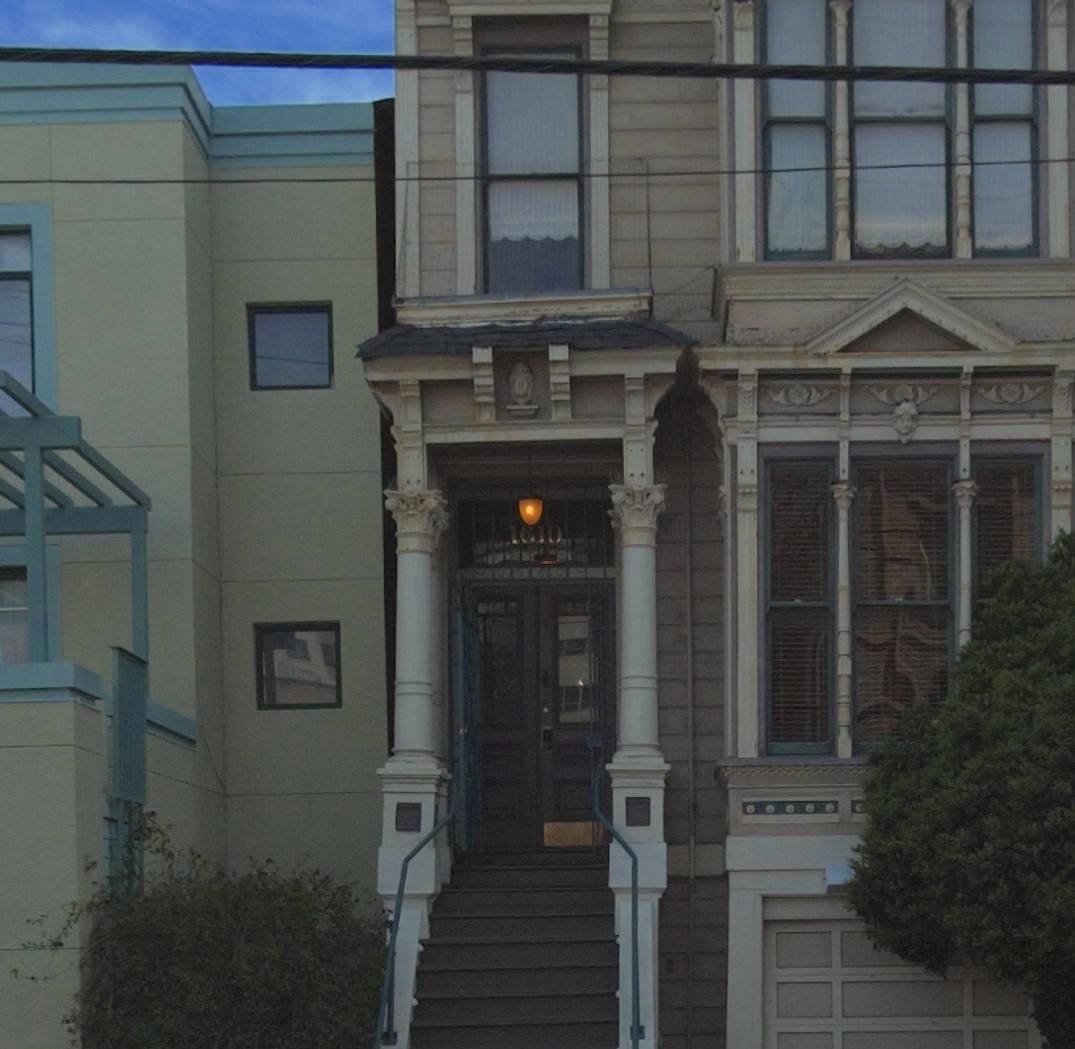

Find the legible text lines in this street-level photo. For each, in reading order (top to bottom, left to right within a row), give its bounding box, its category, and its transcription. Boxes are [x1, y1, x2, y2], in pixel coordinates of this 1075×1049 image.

[509, 524, 563, 547] StreetNumber: 1610